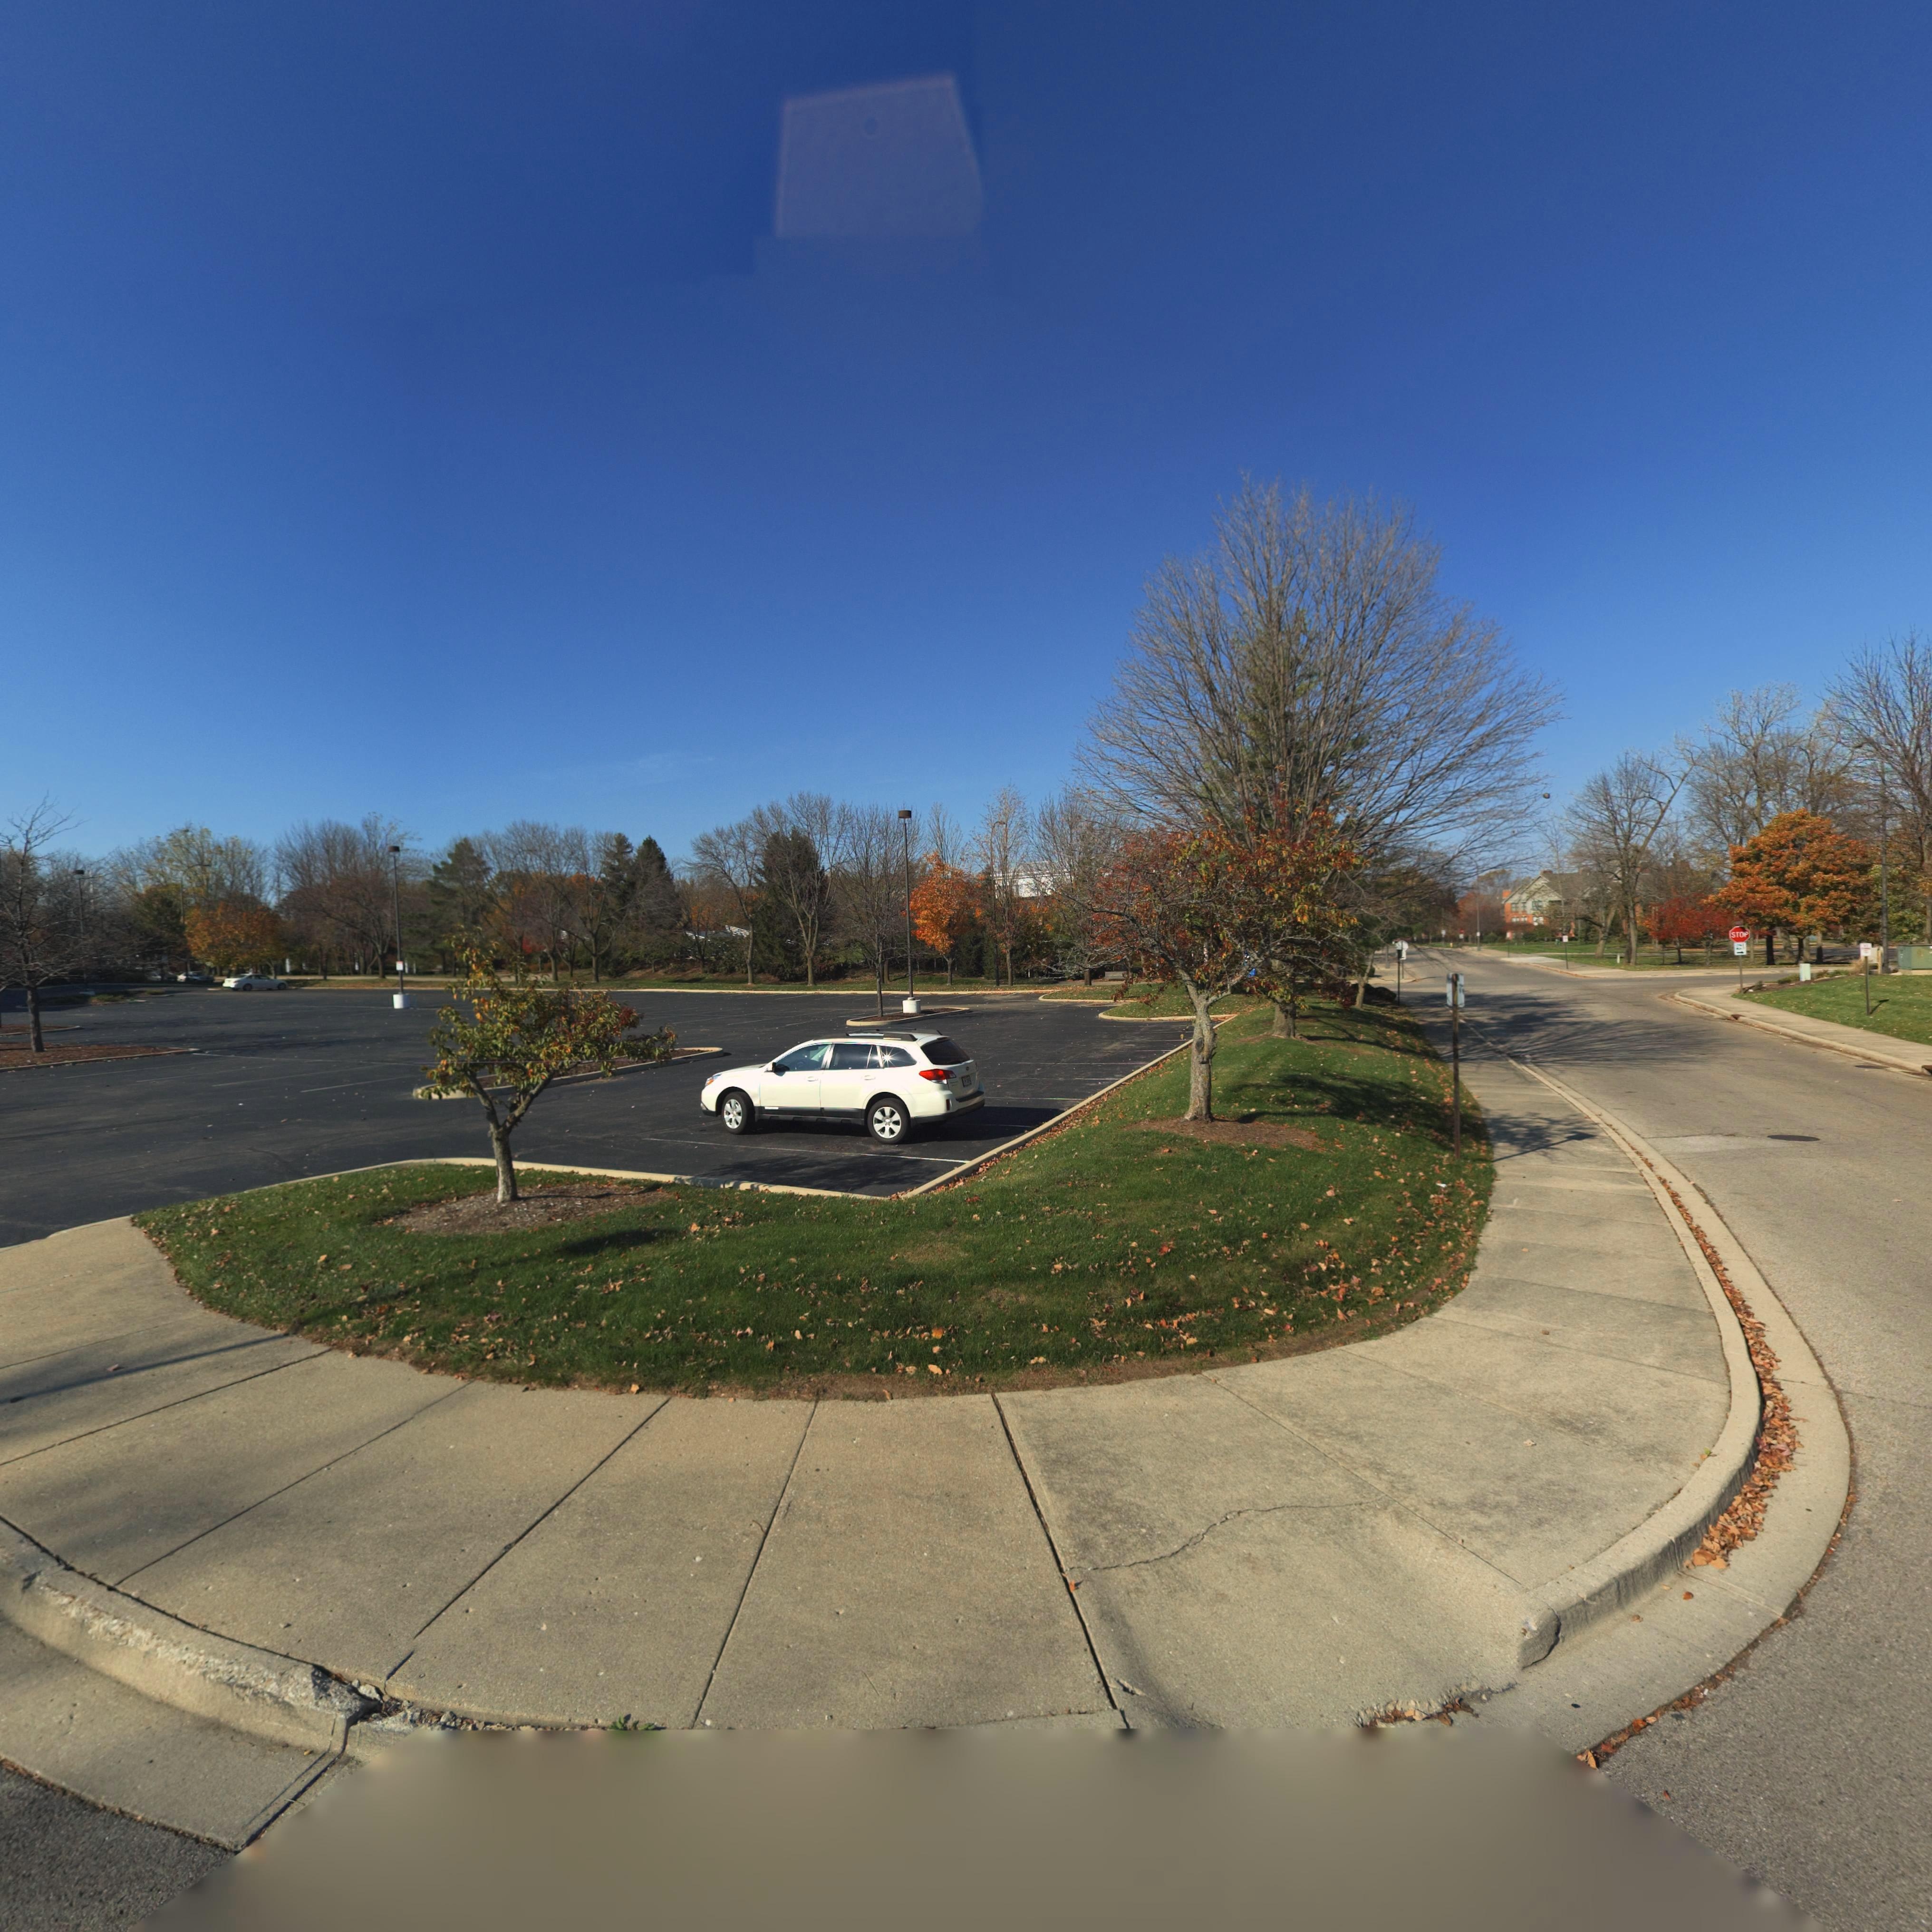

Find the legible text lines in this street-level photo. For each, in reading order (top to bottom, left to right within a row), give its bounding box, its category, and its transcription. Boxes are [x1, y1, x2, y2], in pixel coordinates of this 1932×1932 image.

[1730, 931, 1748, 938] None: STOP